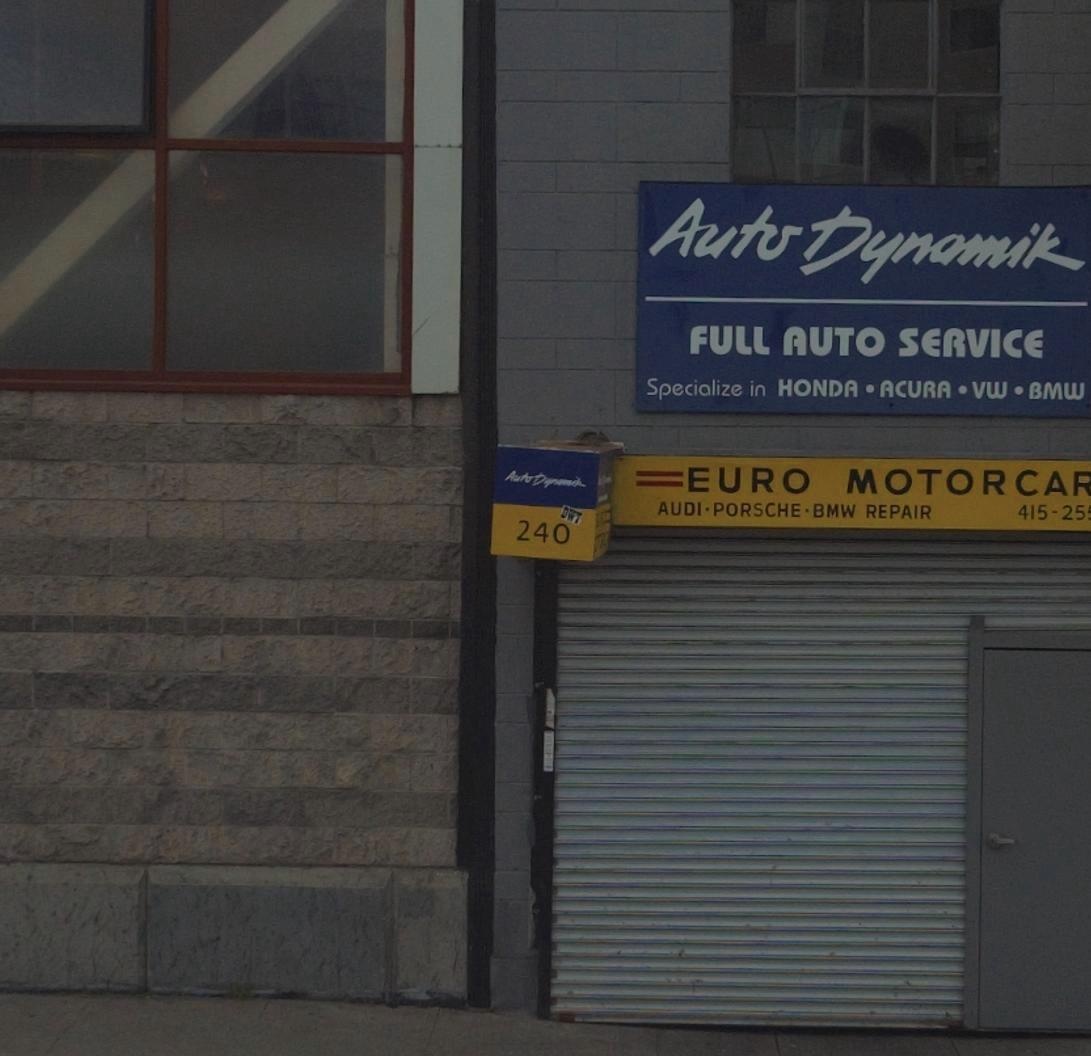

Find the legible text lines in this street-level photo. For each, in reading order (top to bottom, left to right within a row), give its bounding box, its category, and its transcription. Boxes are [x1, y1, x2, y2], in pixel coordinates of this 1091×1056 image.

[643, 194, 1090, 288] BusinessName: Auto Dynamik
[687, 322, 1047, 362] None: FULL AUTO SERVICE
[643, 374, 1088, 405] None: Specialize in HONDA * ACURA * VW * BMW
[501, 467, 548, 489] BusinessName: Auto D
[686, 463, 1072, 499] BusinessName: EURO MOTORCA
[654, 498, 934, 522] None: AUDI * PORSCHE * BMW REPAIR
[1015, 501, 1088, 523] None: 415-25
[513, 517, 573, 547] StreetNumber: 240